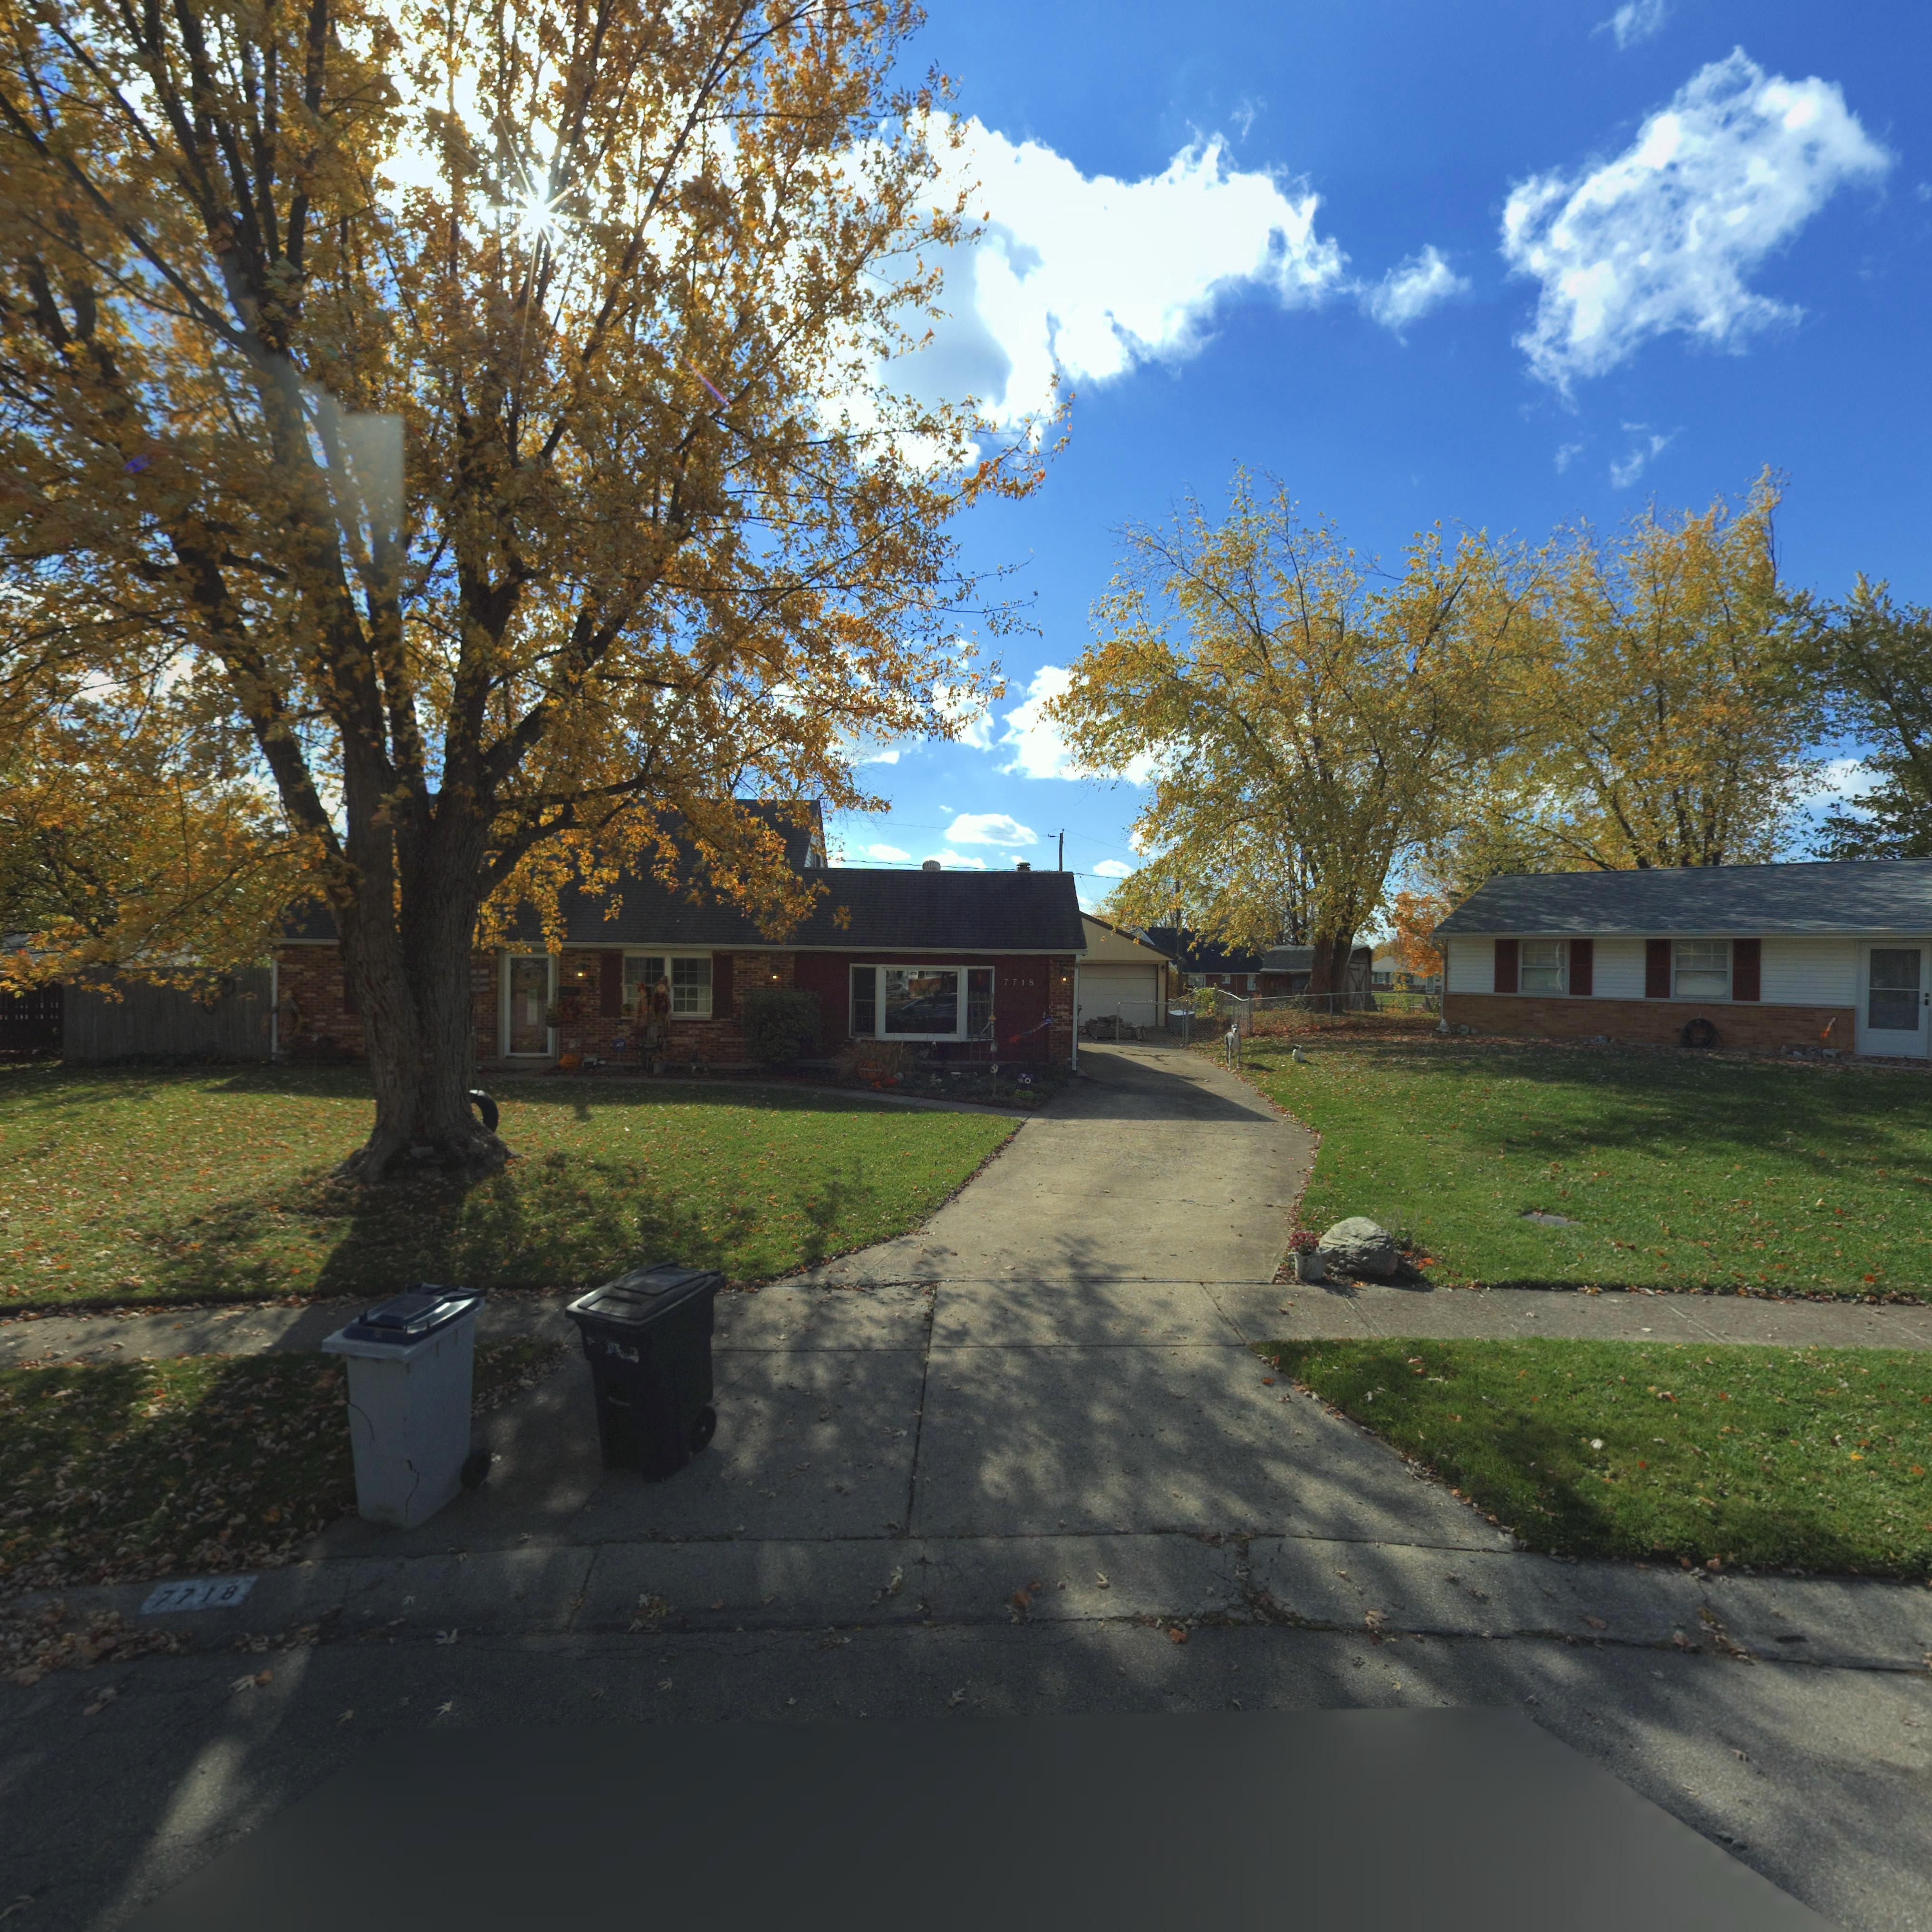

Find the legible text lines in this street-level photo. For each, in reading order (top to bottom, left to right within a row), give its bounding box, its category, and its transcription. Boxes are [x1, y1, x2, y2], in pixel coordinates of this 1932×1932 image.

[1004, 978, 1034, 986] StreetNumber: 7718
[151, 1584, 240, 1607] StreetNumber: 7718